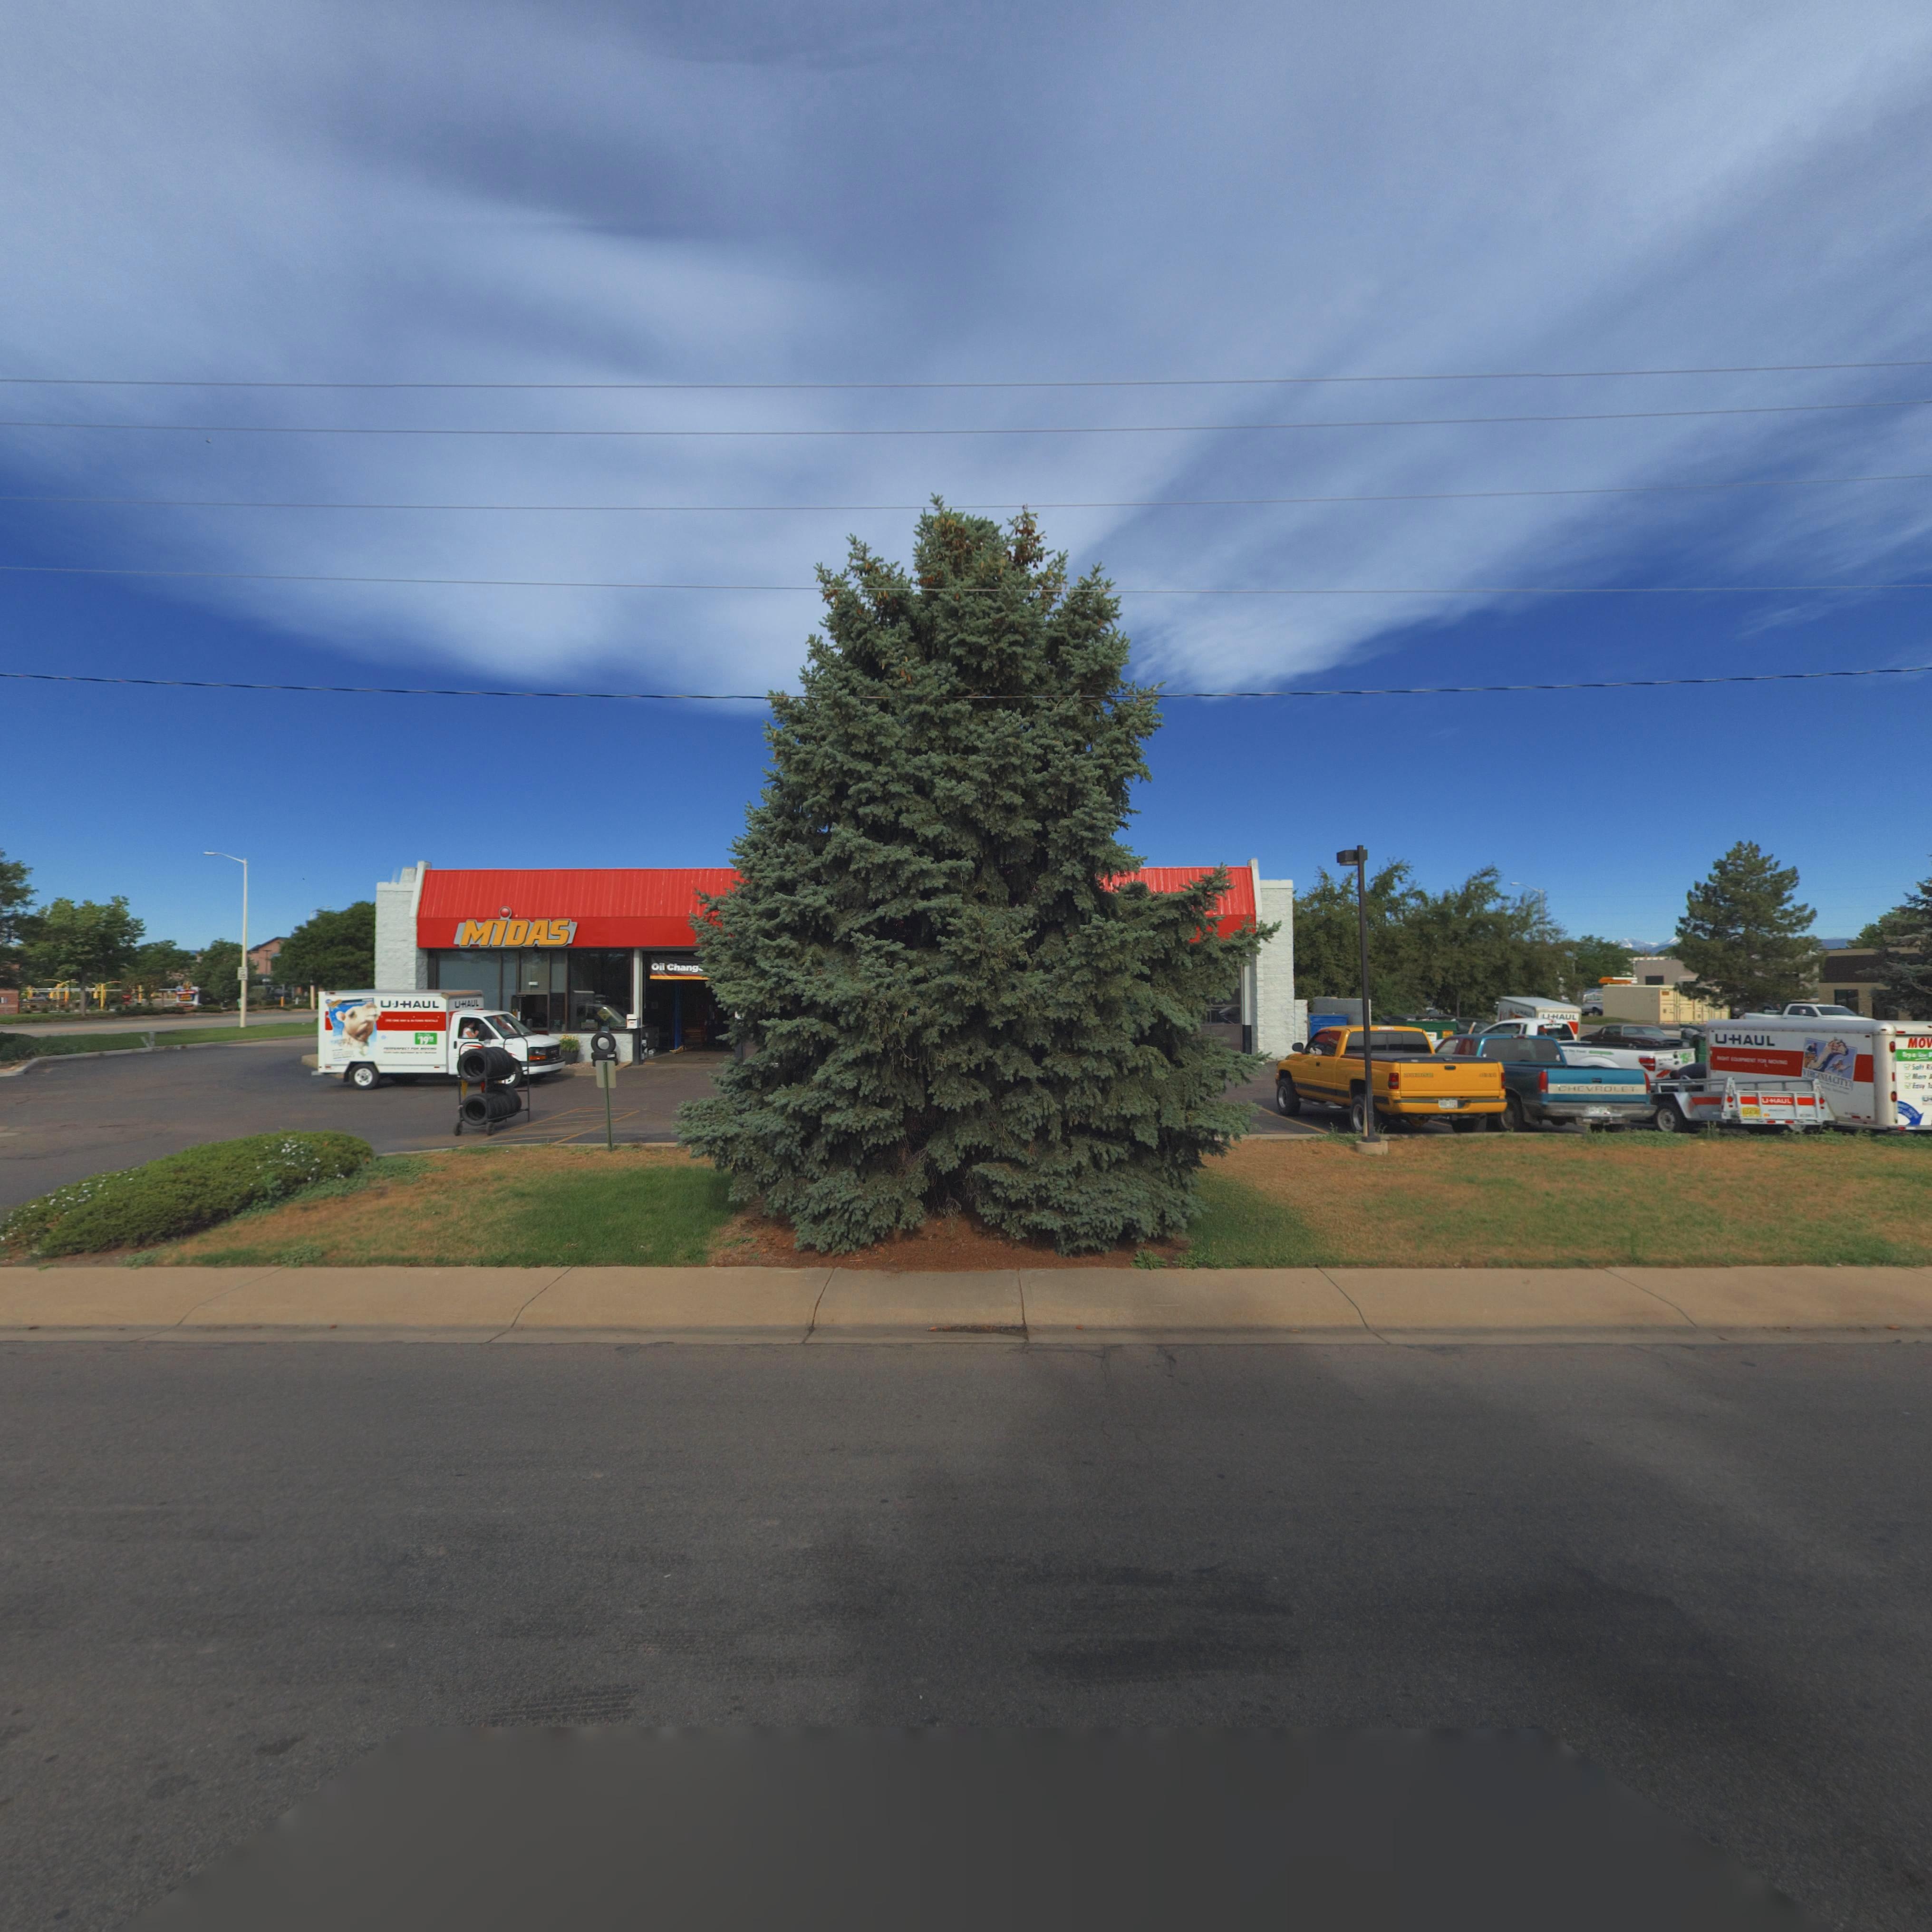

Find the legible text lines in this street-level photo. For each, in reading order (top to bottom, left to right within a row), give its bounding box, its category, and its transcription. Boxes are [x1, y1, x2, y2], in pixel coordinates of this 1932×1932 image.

[459, 907, 570, 947] BusinessName: MiDAS